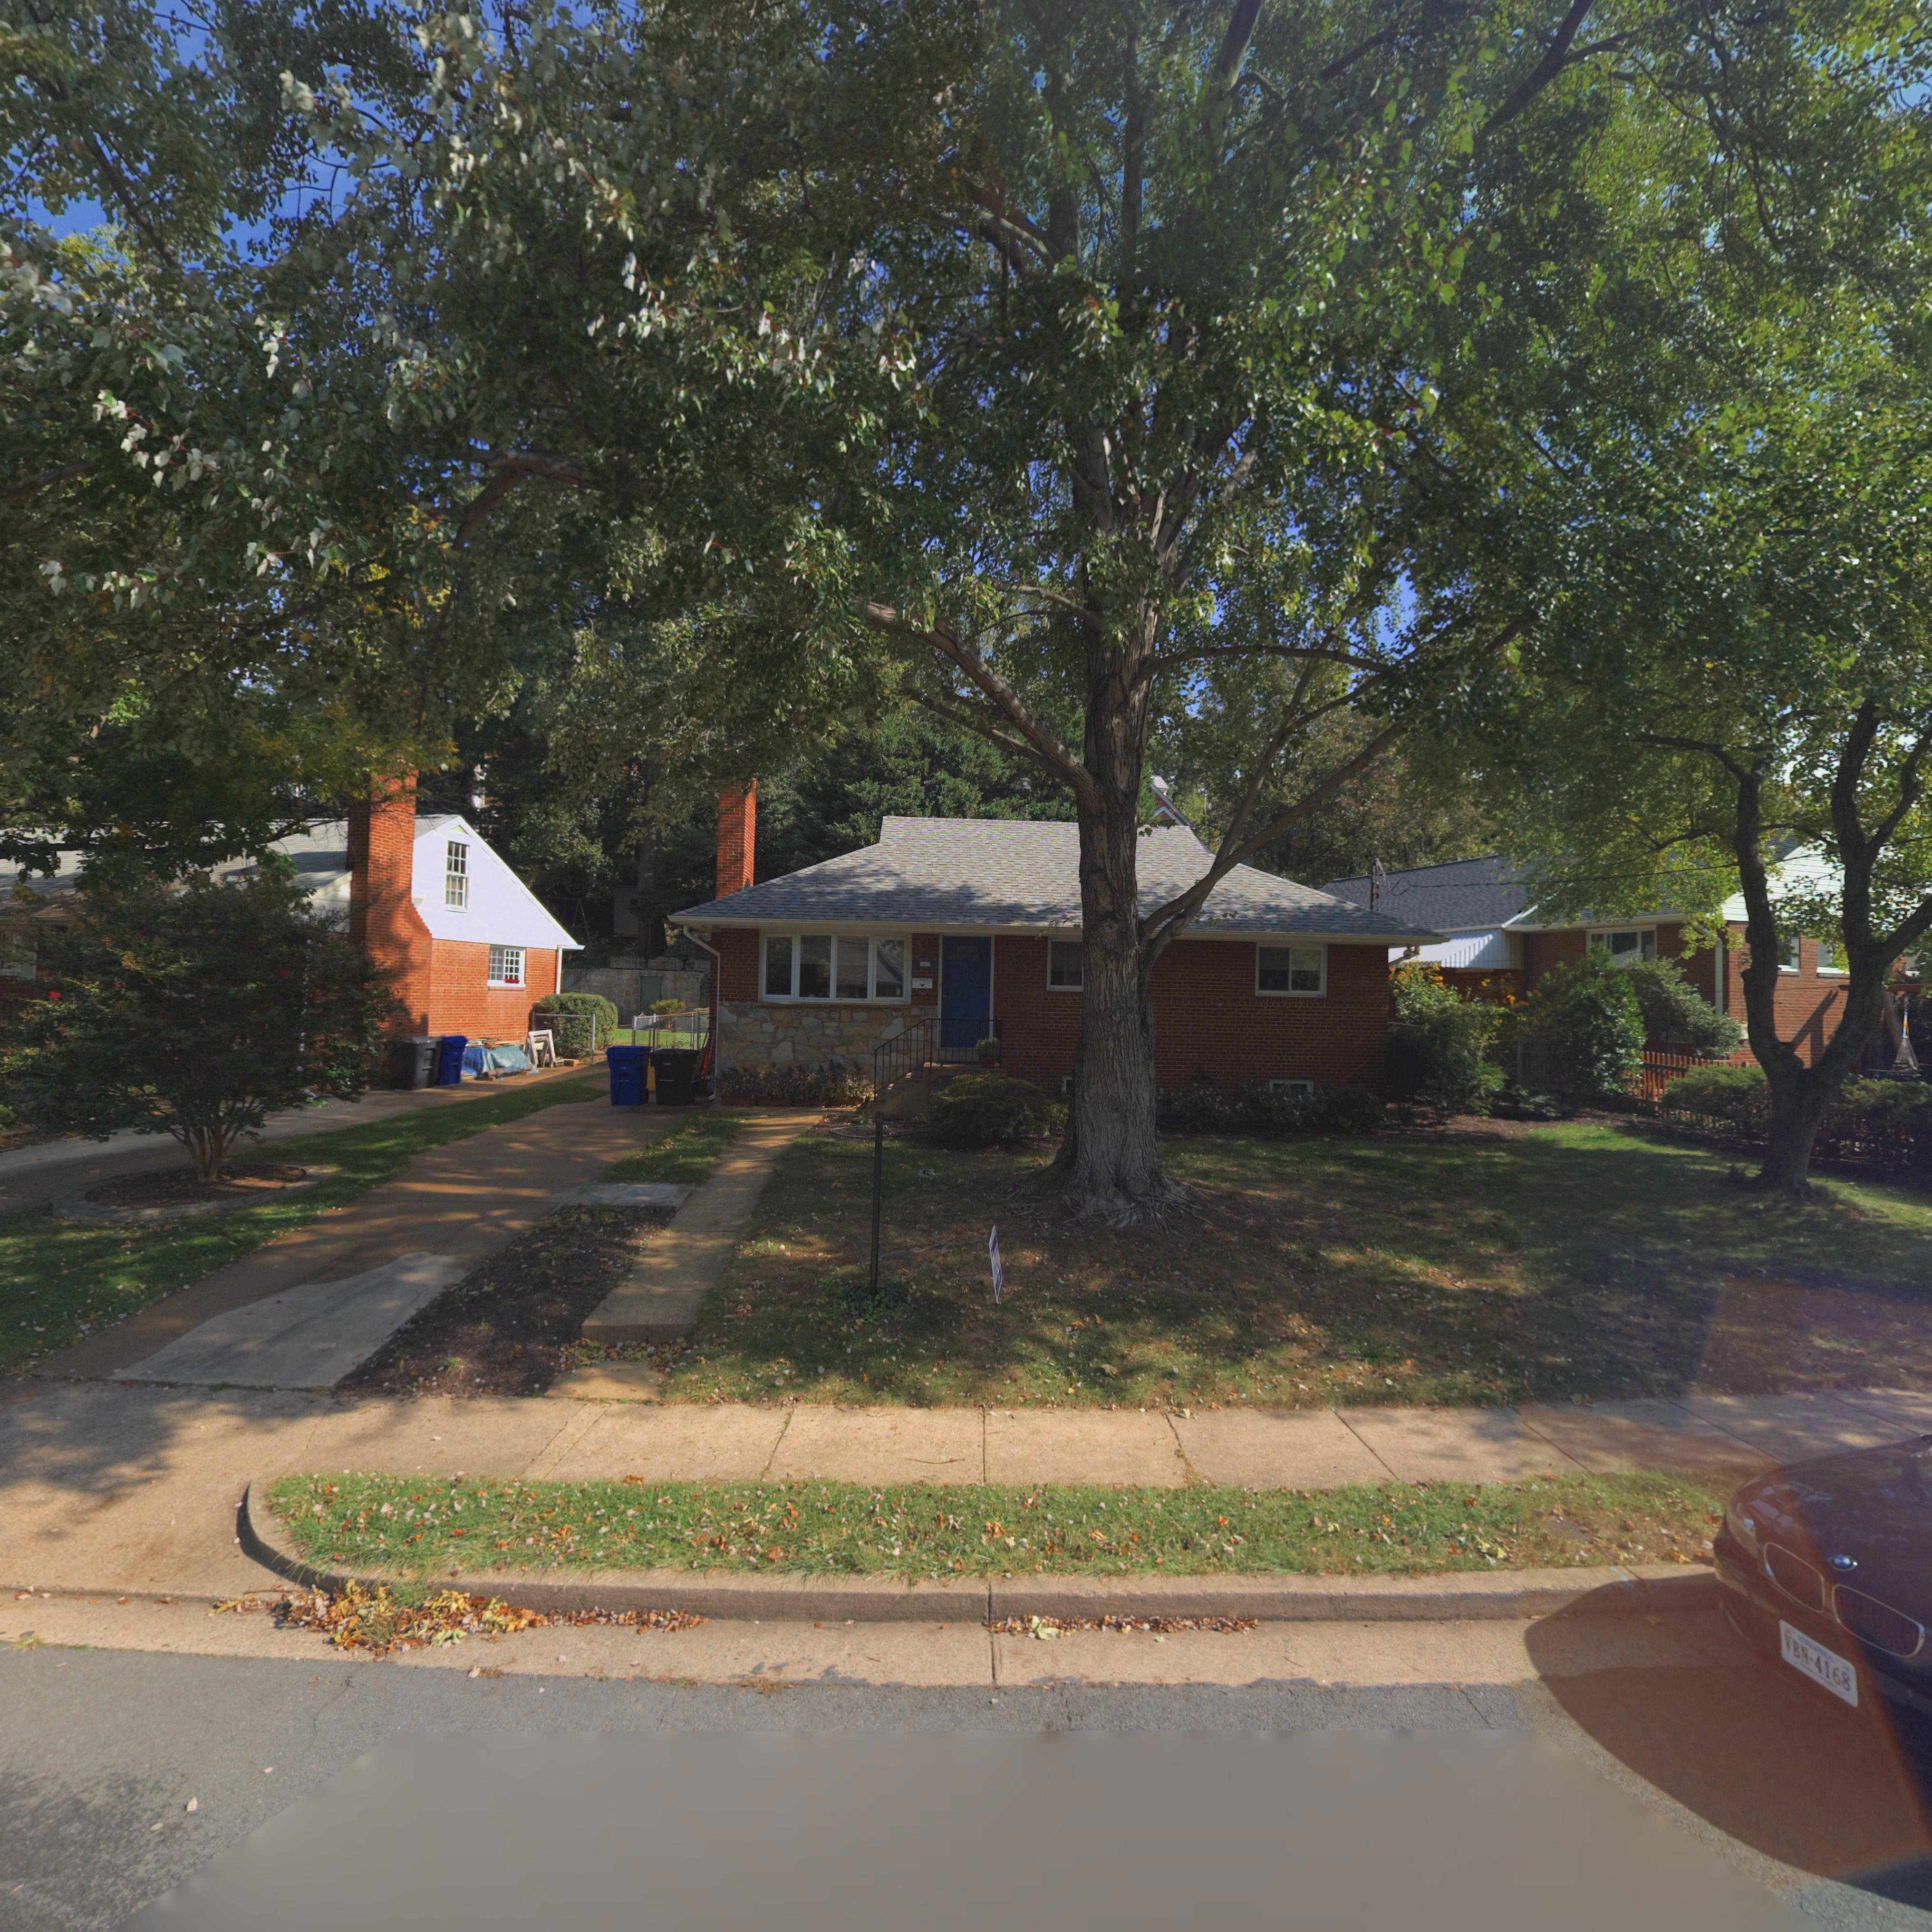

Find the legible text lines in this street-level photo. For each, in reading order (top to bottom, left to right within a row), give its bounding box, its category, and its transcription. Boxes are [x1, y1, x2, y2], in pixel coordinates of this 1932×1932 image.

[1797, 1633, 1835, 1664] None: VIRGINIA
[1783, 1632, 1851, 1695] None: VBN-4168